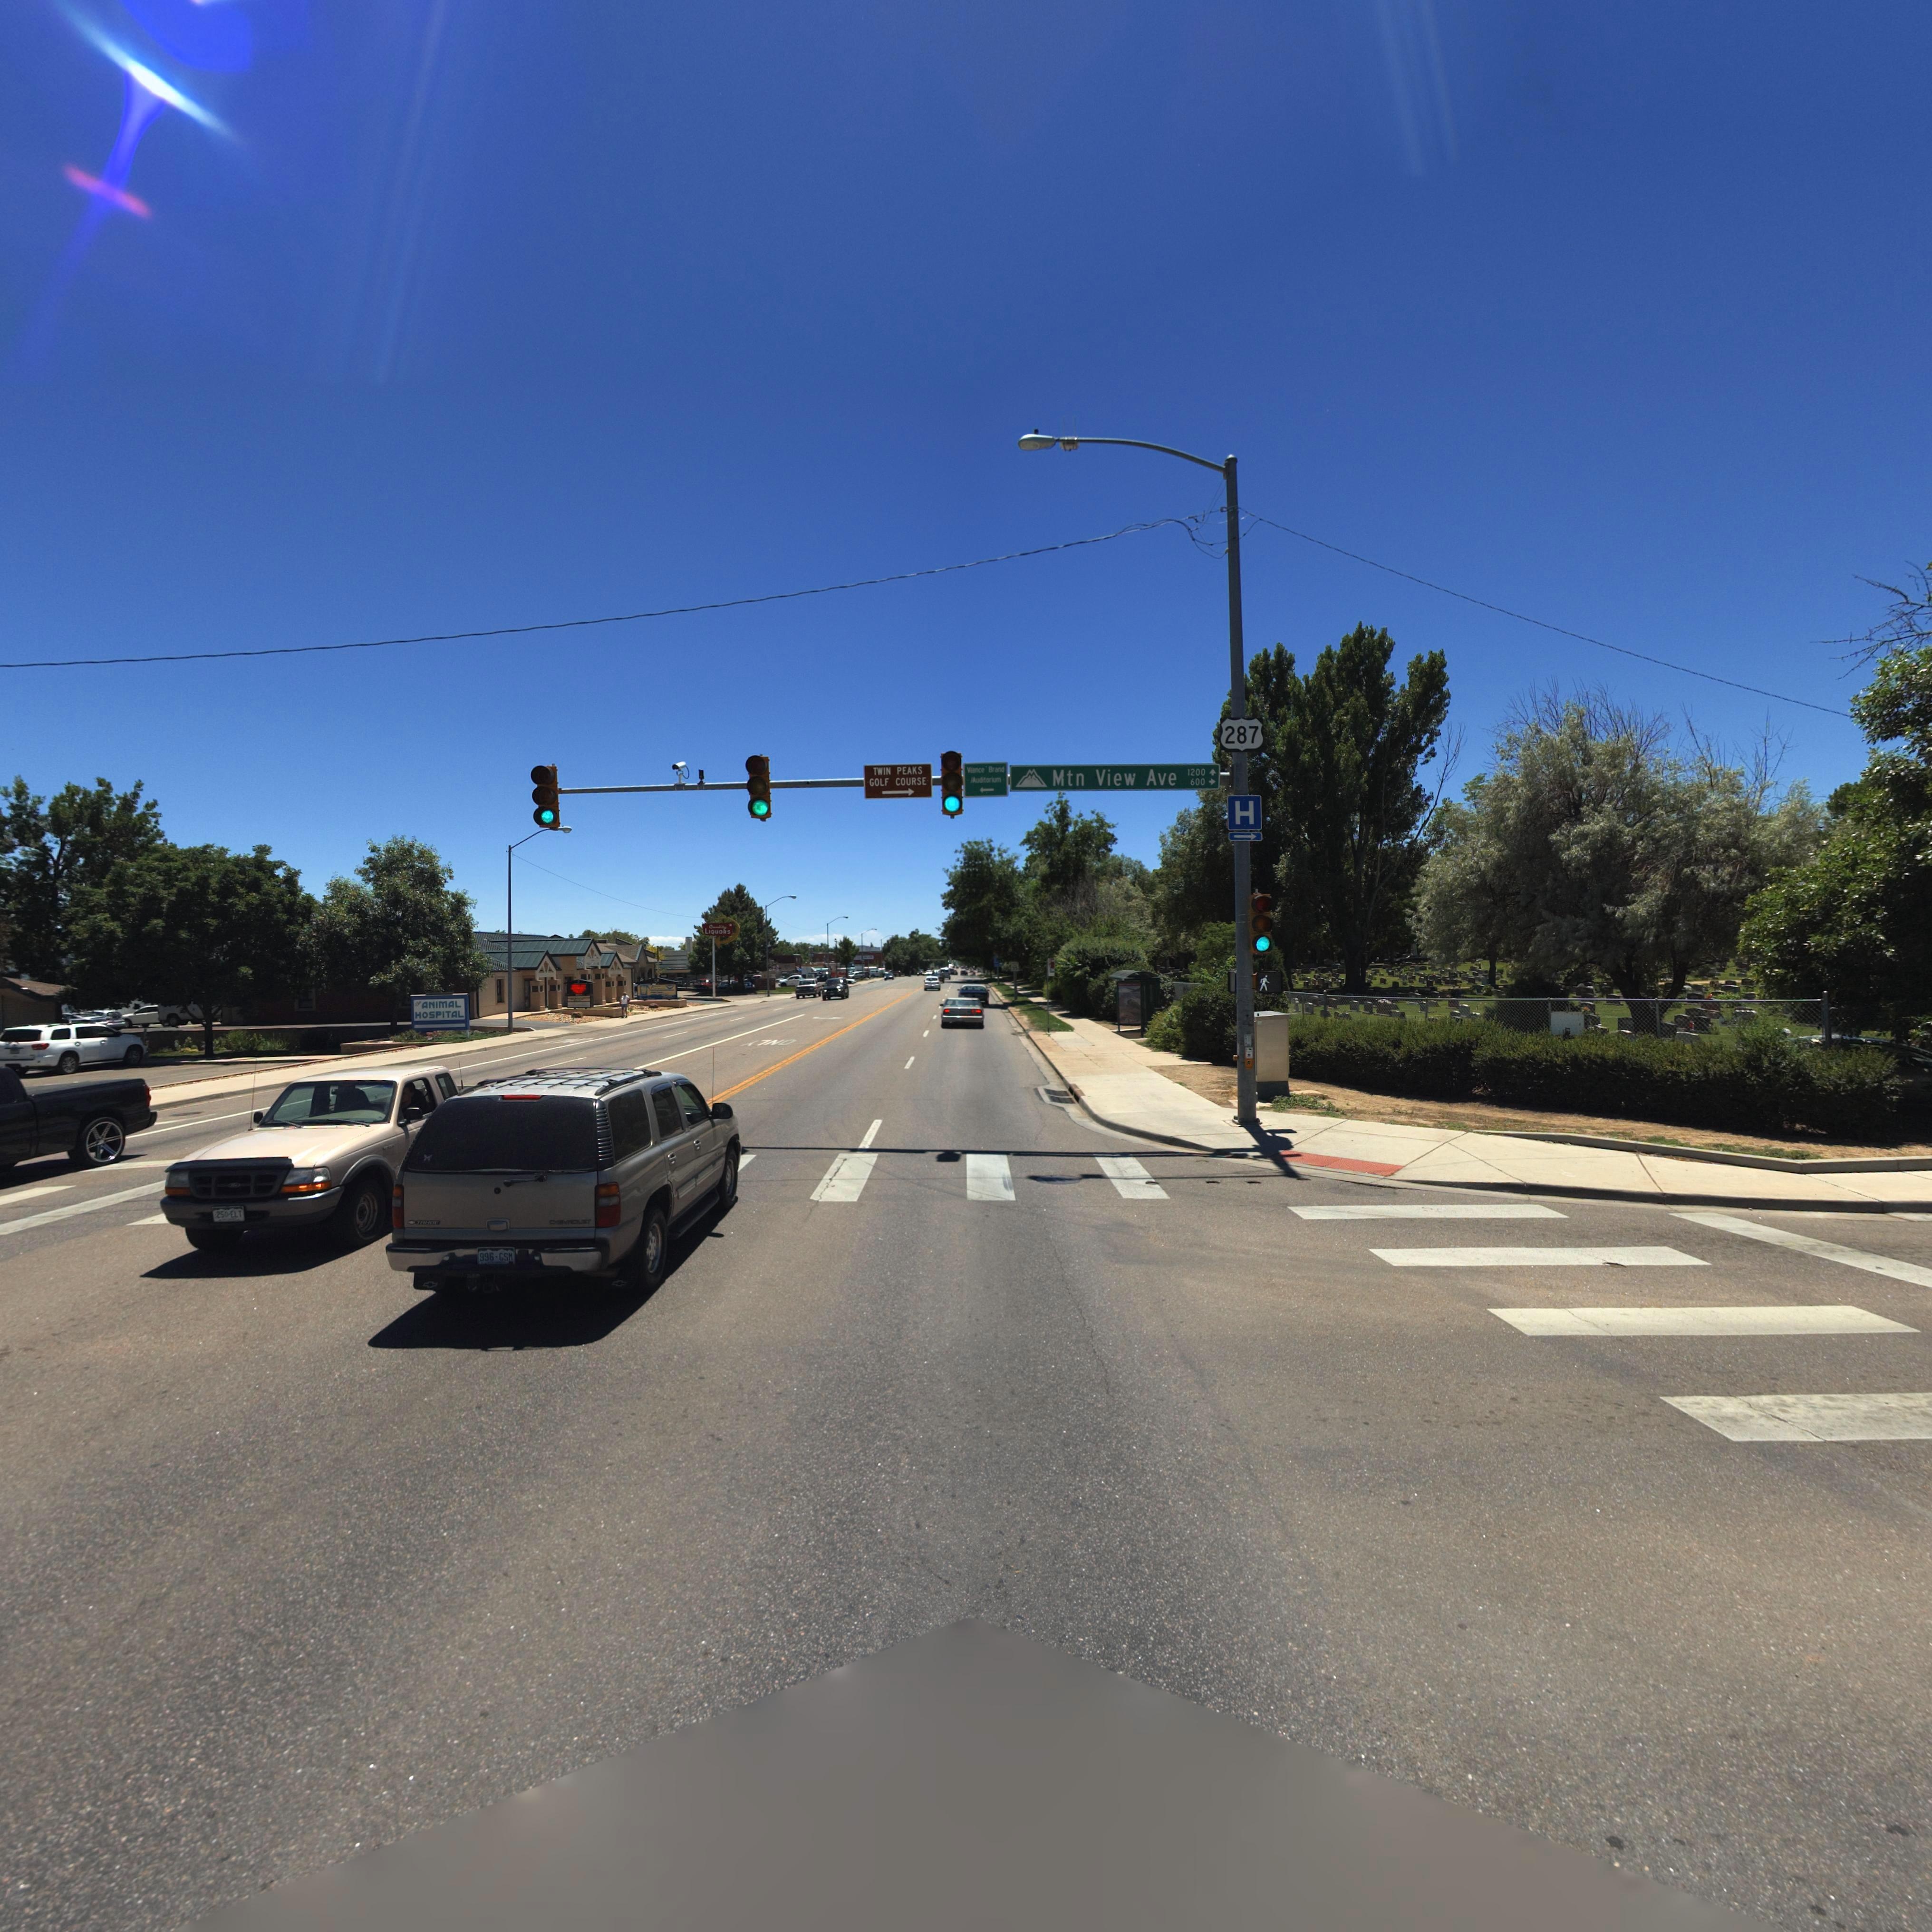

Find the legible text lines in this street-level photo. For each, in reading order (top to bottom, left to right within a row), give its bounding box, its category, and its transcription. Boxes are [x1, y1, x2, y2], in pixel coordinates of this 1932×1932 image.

[1187, 767, 1206, 776] StreetNumberRange: 1200
[1052, 768, 1177, 786] StreetName: Mtn View Ave
[1190, 777, 1216, 785] StreetNumberRange: 600->
[709, 924, 726, 929] BusinessName: Quality
[705, 927, 730, 934] BusinessName: LIQUORS
[421, 1000, 462, 1009] BusinessName: ANIMAL HOSPITAL